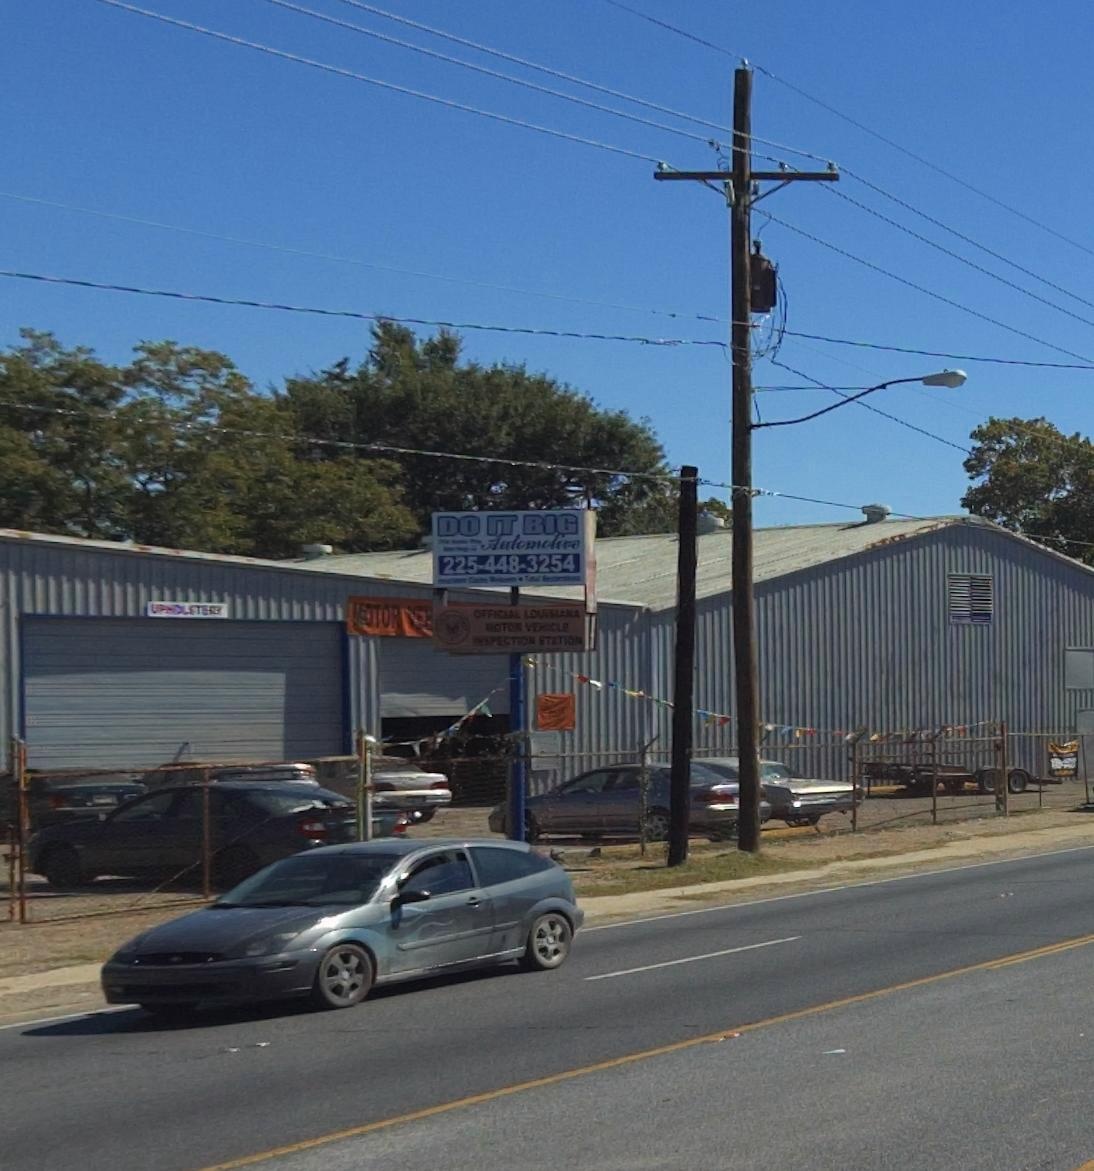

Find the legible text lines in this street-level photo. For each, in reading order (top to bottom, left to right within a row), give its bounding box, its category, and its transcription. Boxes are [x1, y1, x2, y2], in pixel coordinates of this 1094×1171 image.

[437, 514, 579, 537] BusinessName: DO IT BIG
[480, 532, 581, 552] BusinessName: Automotive
[442, 555, 576, 575] None: 225-448-3254
[150, 603, 225, 616] None: U**OLSTERY
[352, 601, 402, 630] None: *OTOR
[472, 608, 581, 620] None: OFFICIAL LOU*S**NA
[484, 620, 569, 633] None: *OTOR V***CLE
[471, 634, 583, 648] None: INSPECTION STATION